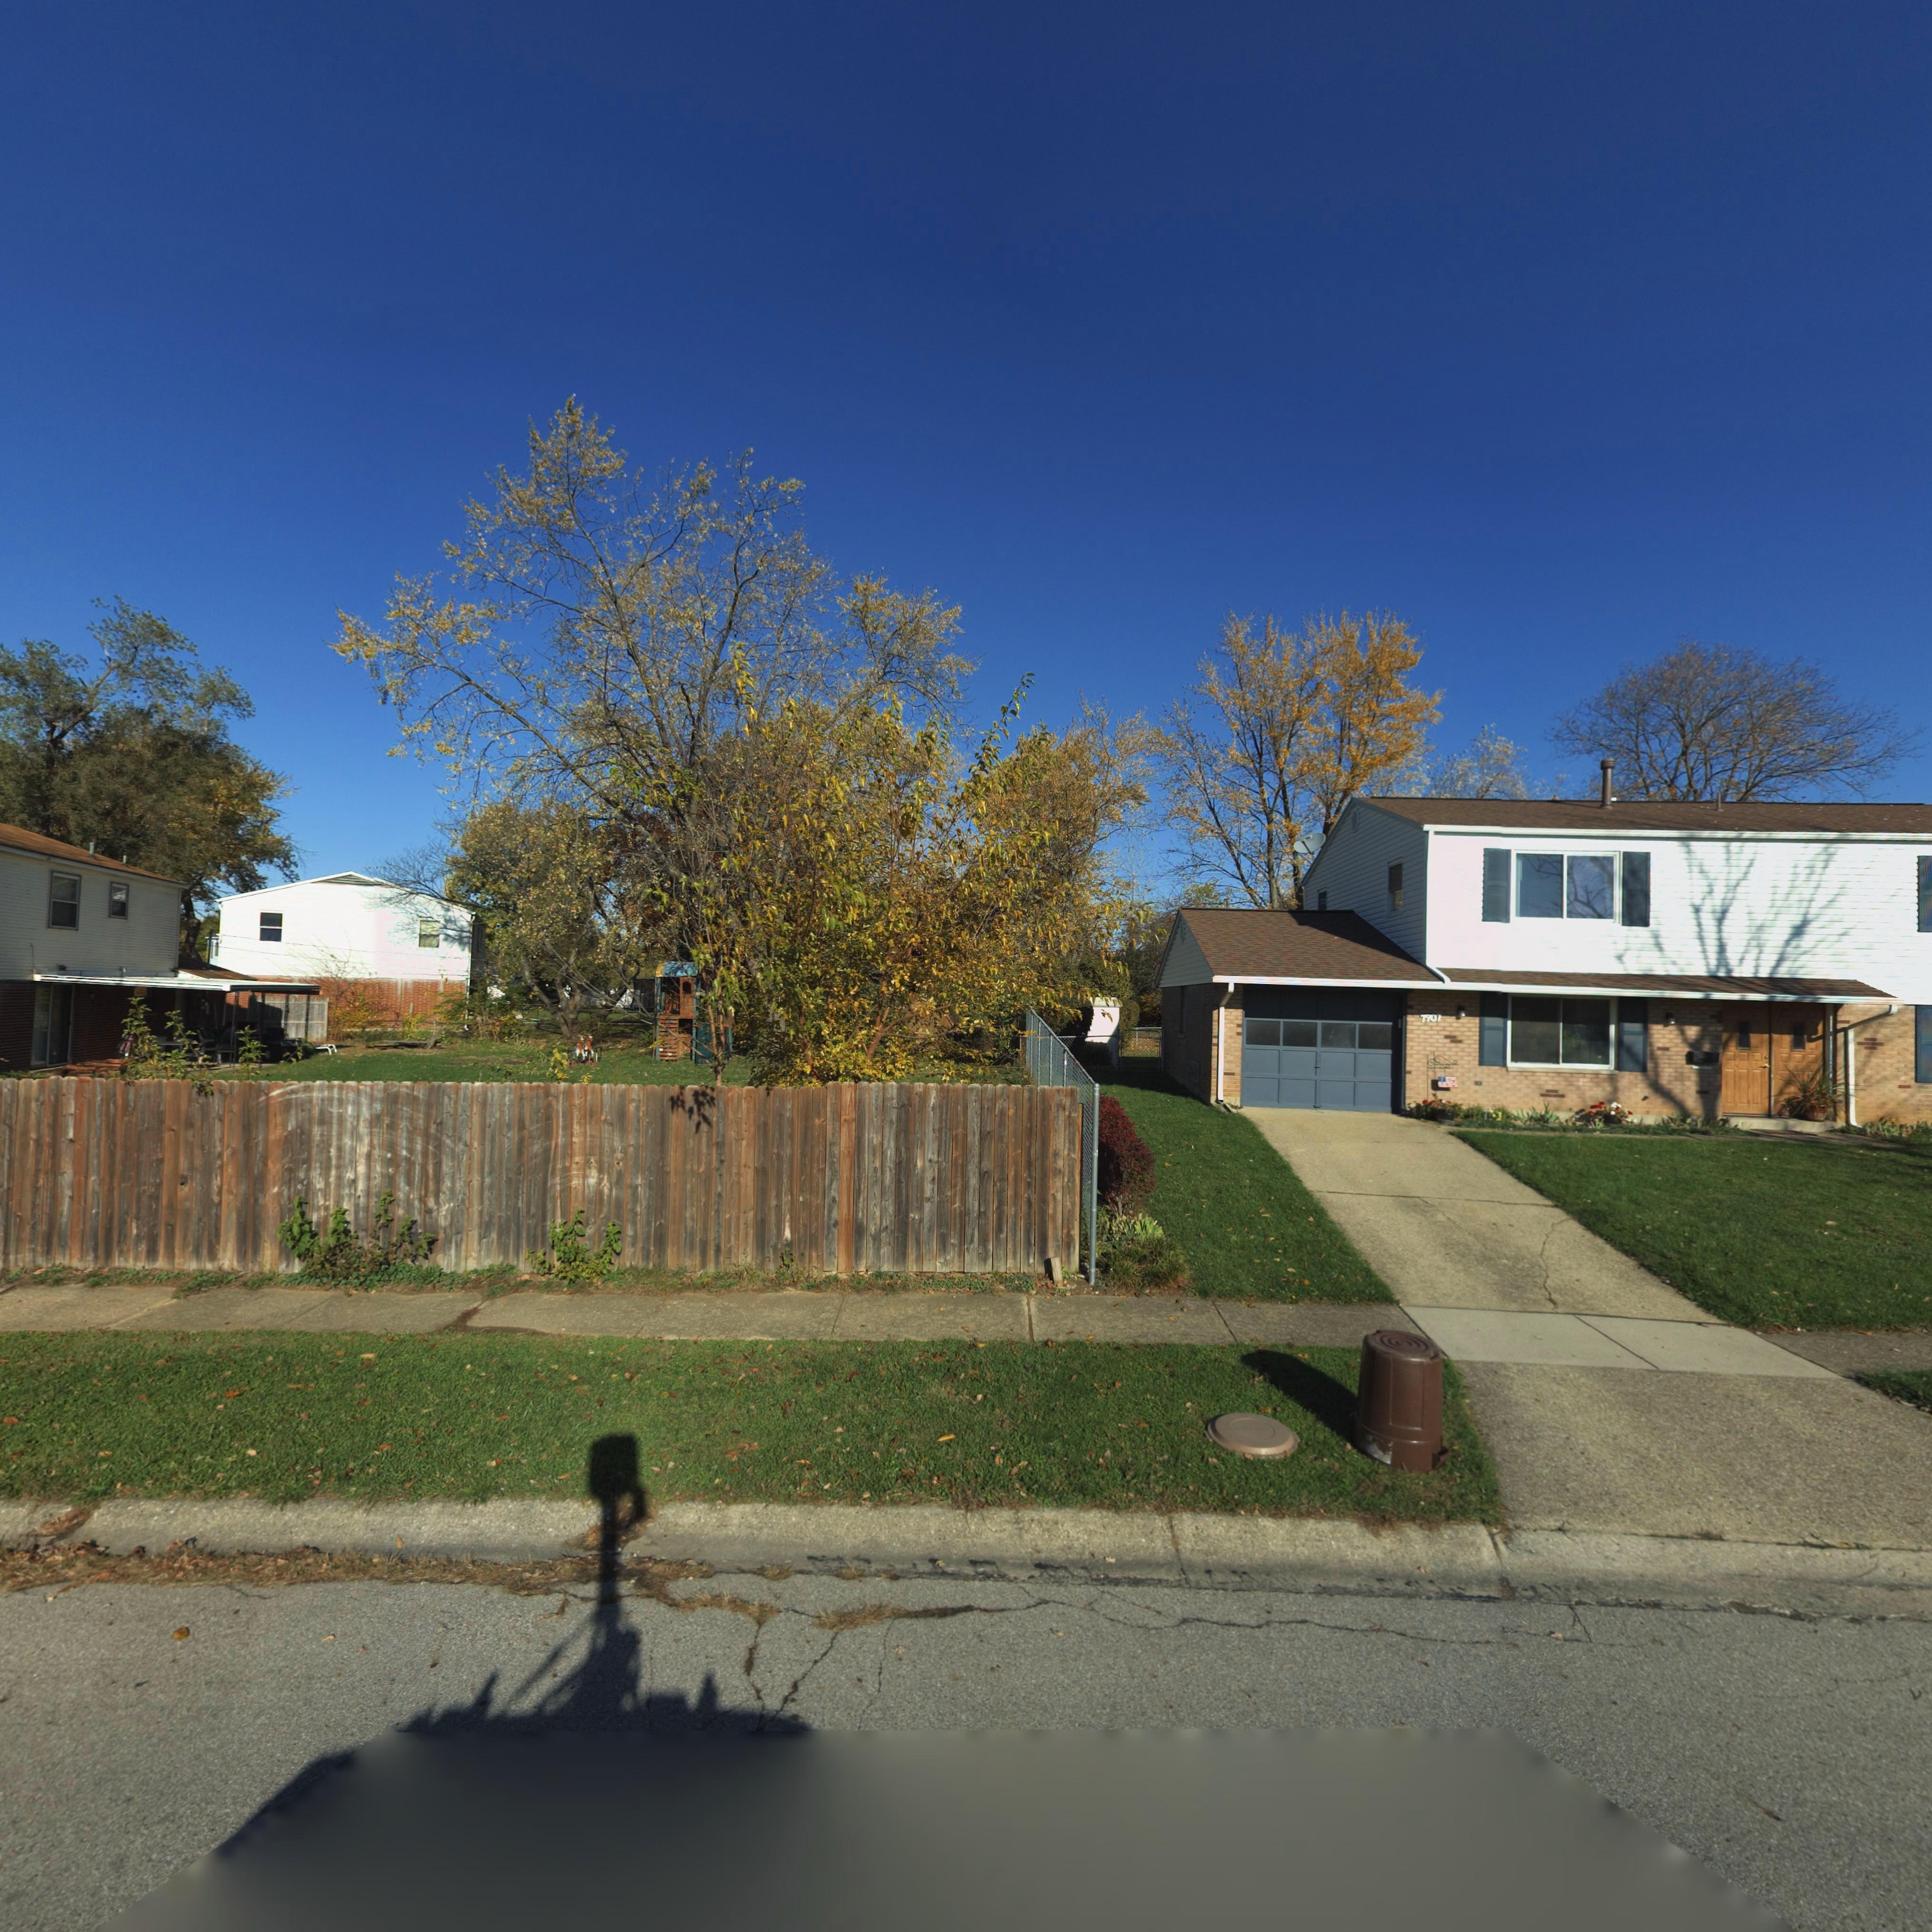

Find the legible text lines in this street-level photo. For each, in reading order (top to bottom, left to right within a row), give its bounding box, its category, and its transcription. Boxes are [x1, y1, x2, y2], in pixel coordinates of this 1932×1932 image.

[1419, 1013, 1442, 1024] StreetNumber: 7907